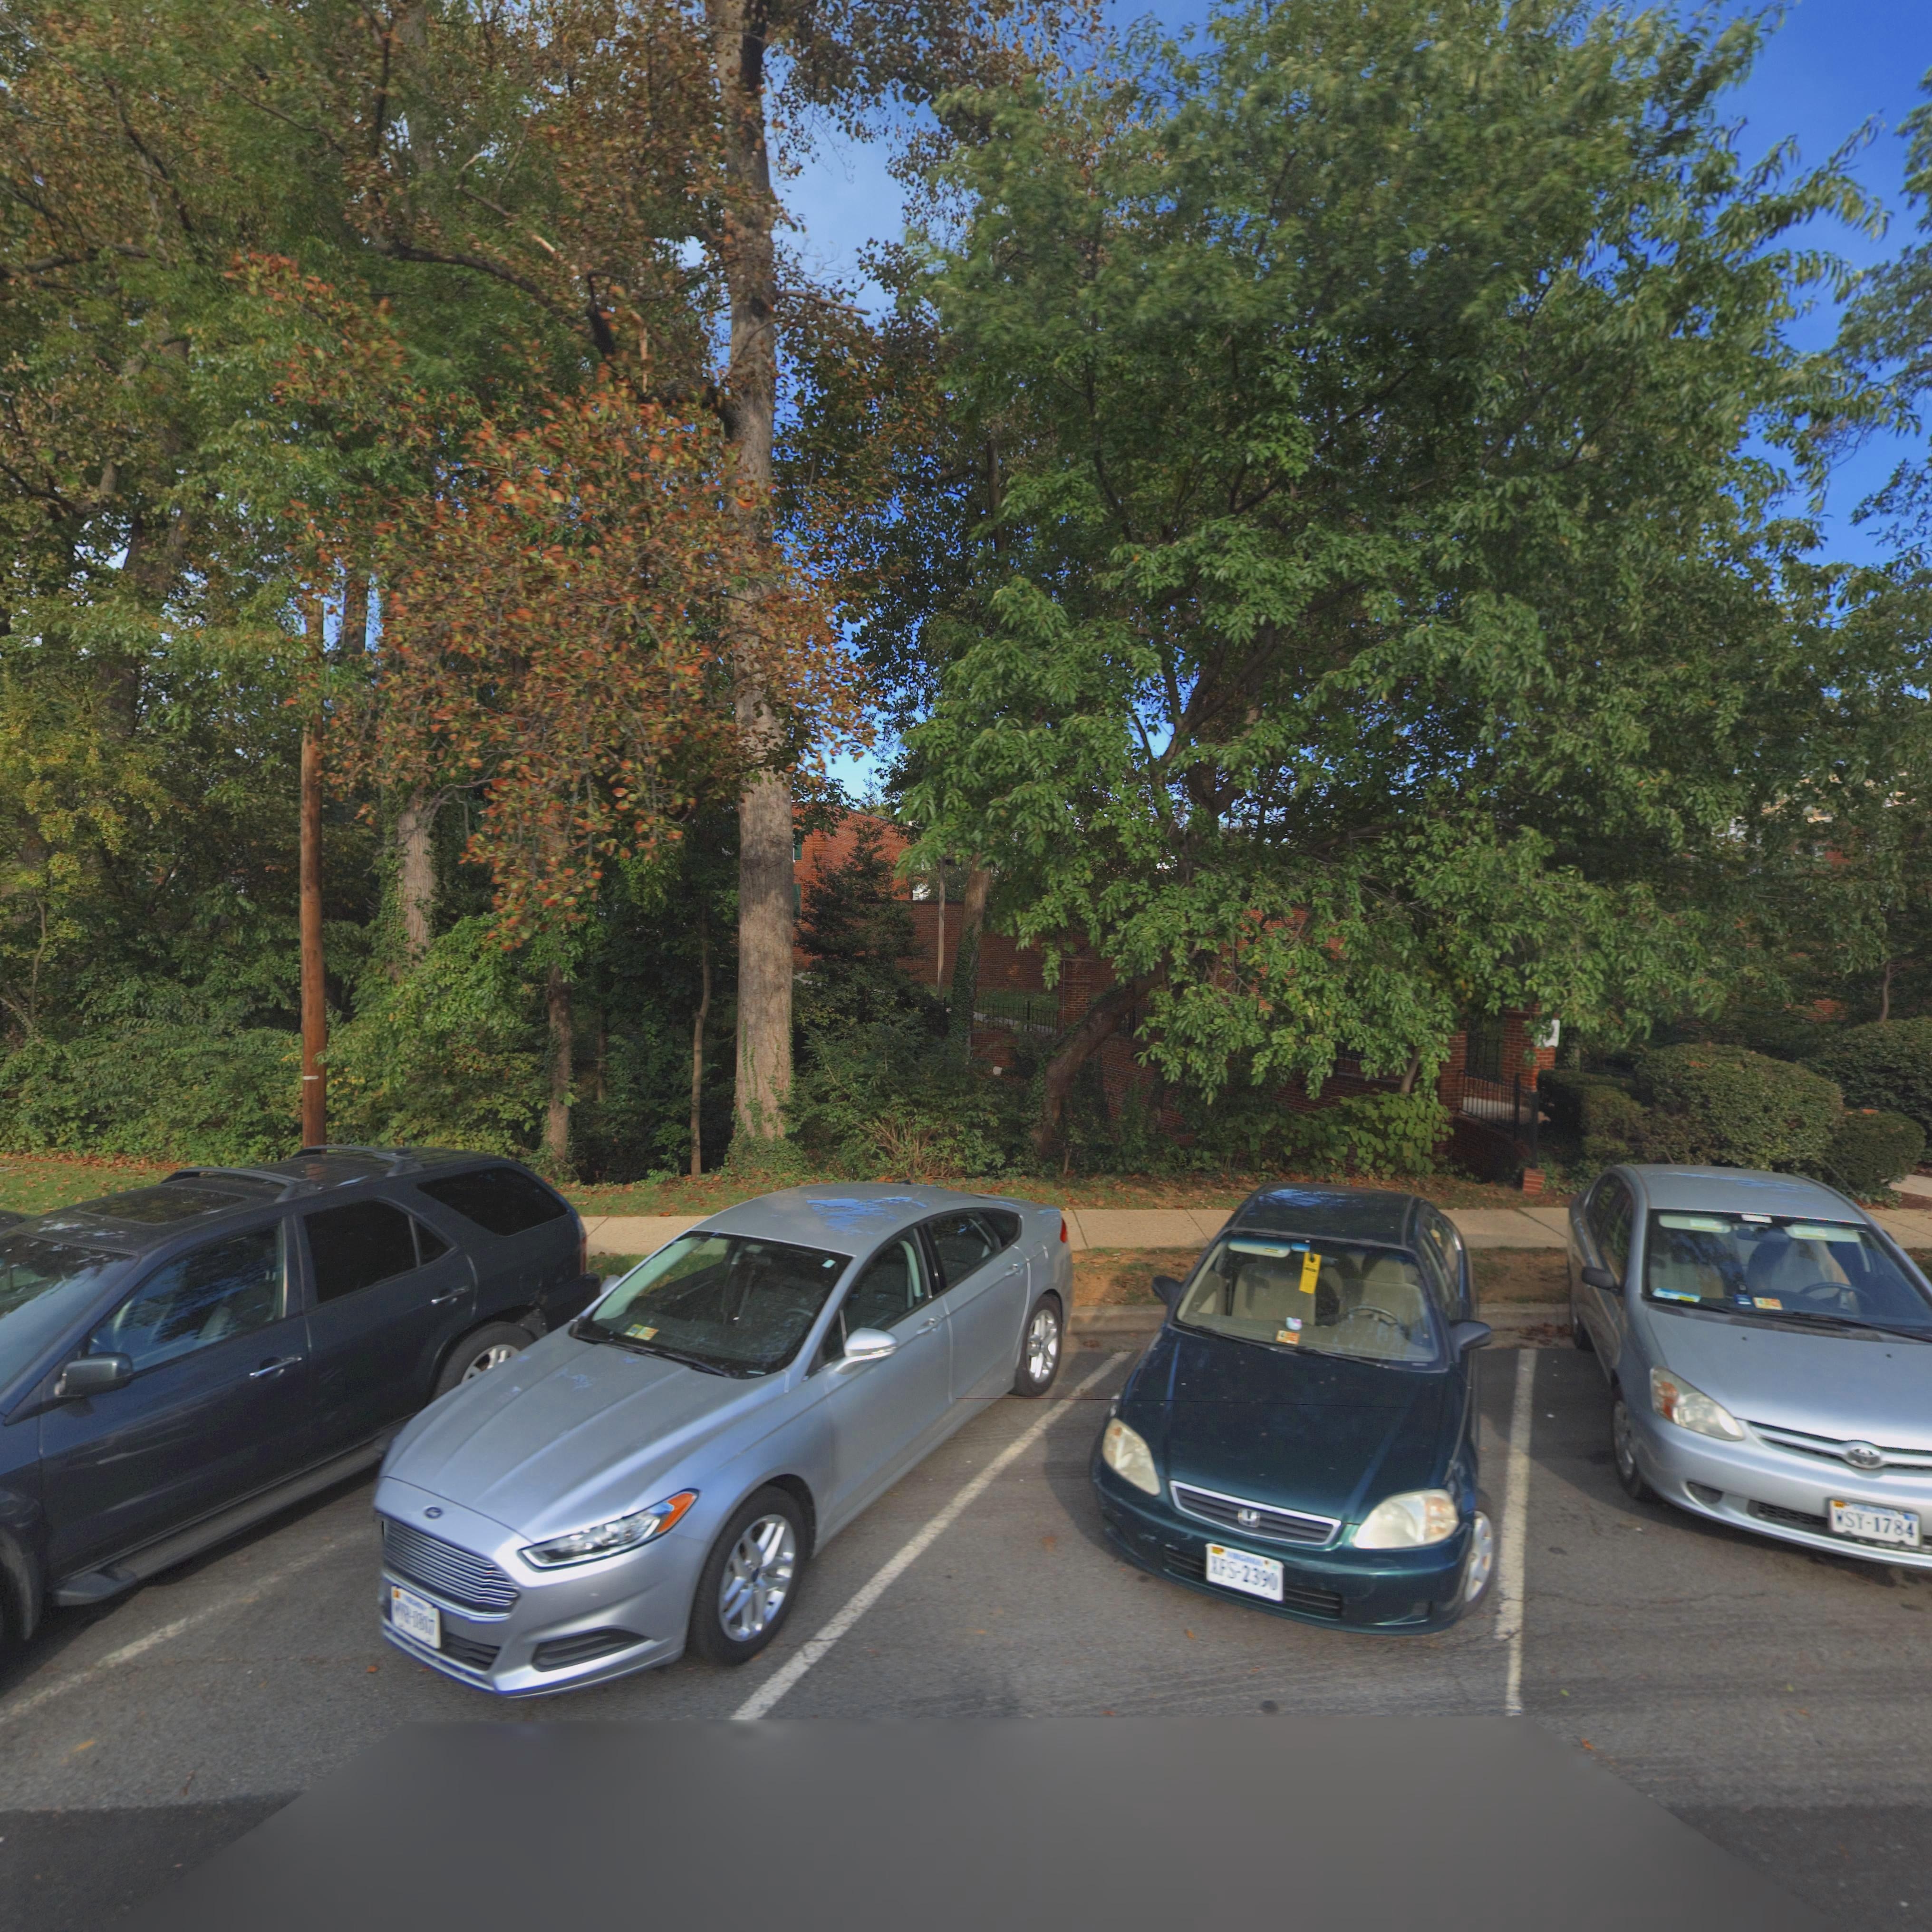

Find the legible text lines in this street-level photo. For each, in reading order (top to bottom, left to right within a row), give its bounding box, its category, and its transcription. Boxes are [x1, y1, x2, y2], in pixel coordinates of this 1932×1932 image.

[1835, 1508, 1915, 1540] None: WSY*1784
[1218, 1557, 1280, 1592] None: FS*2390
[412, 1609, 436, 1638] None: 1317